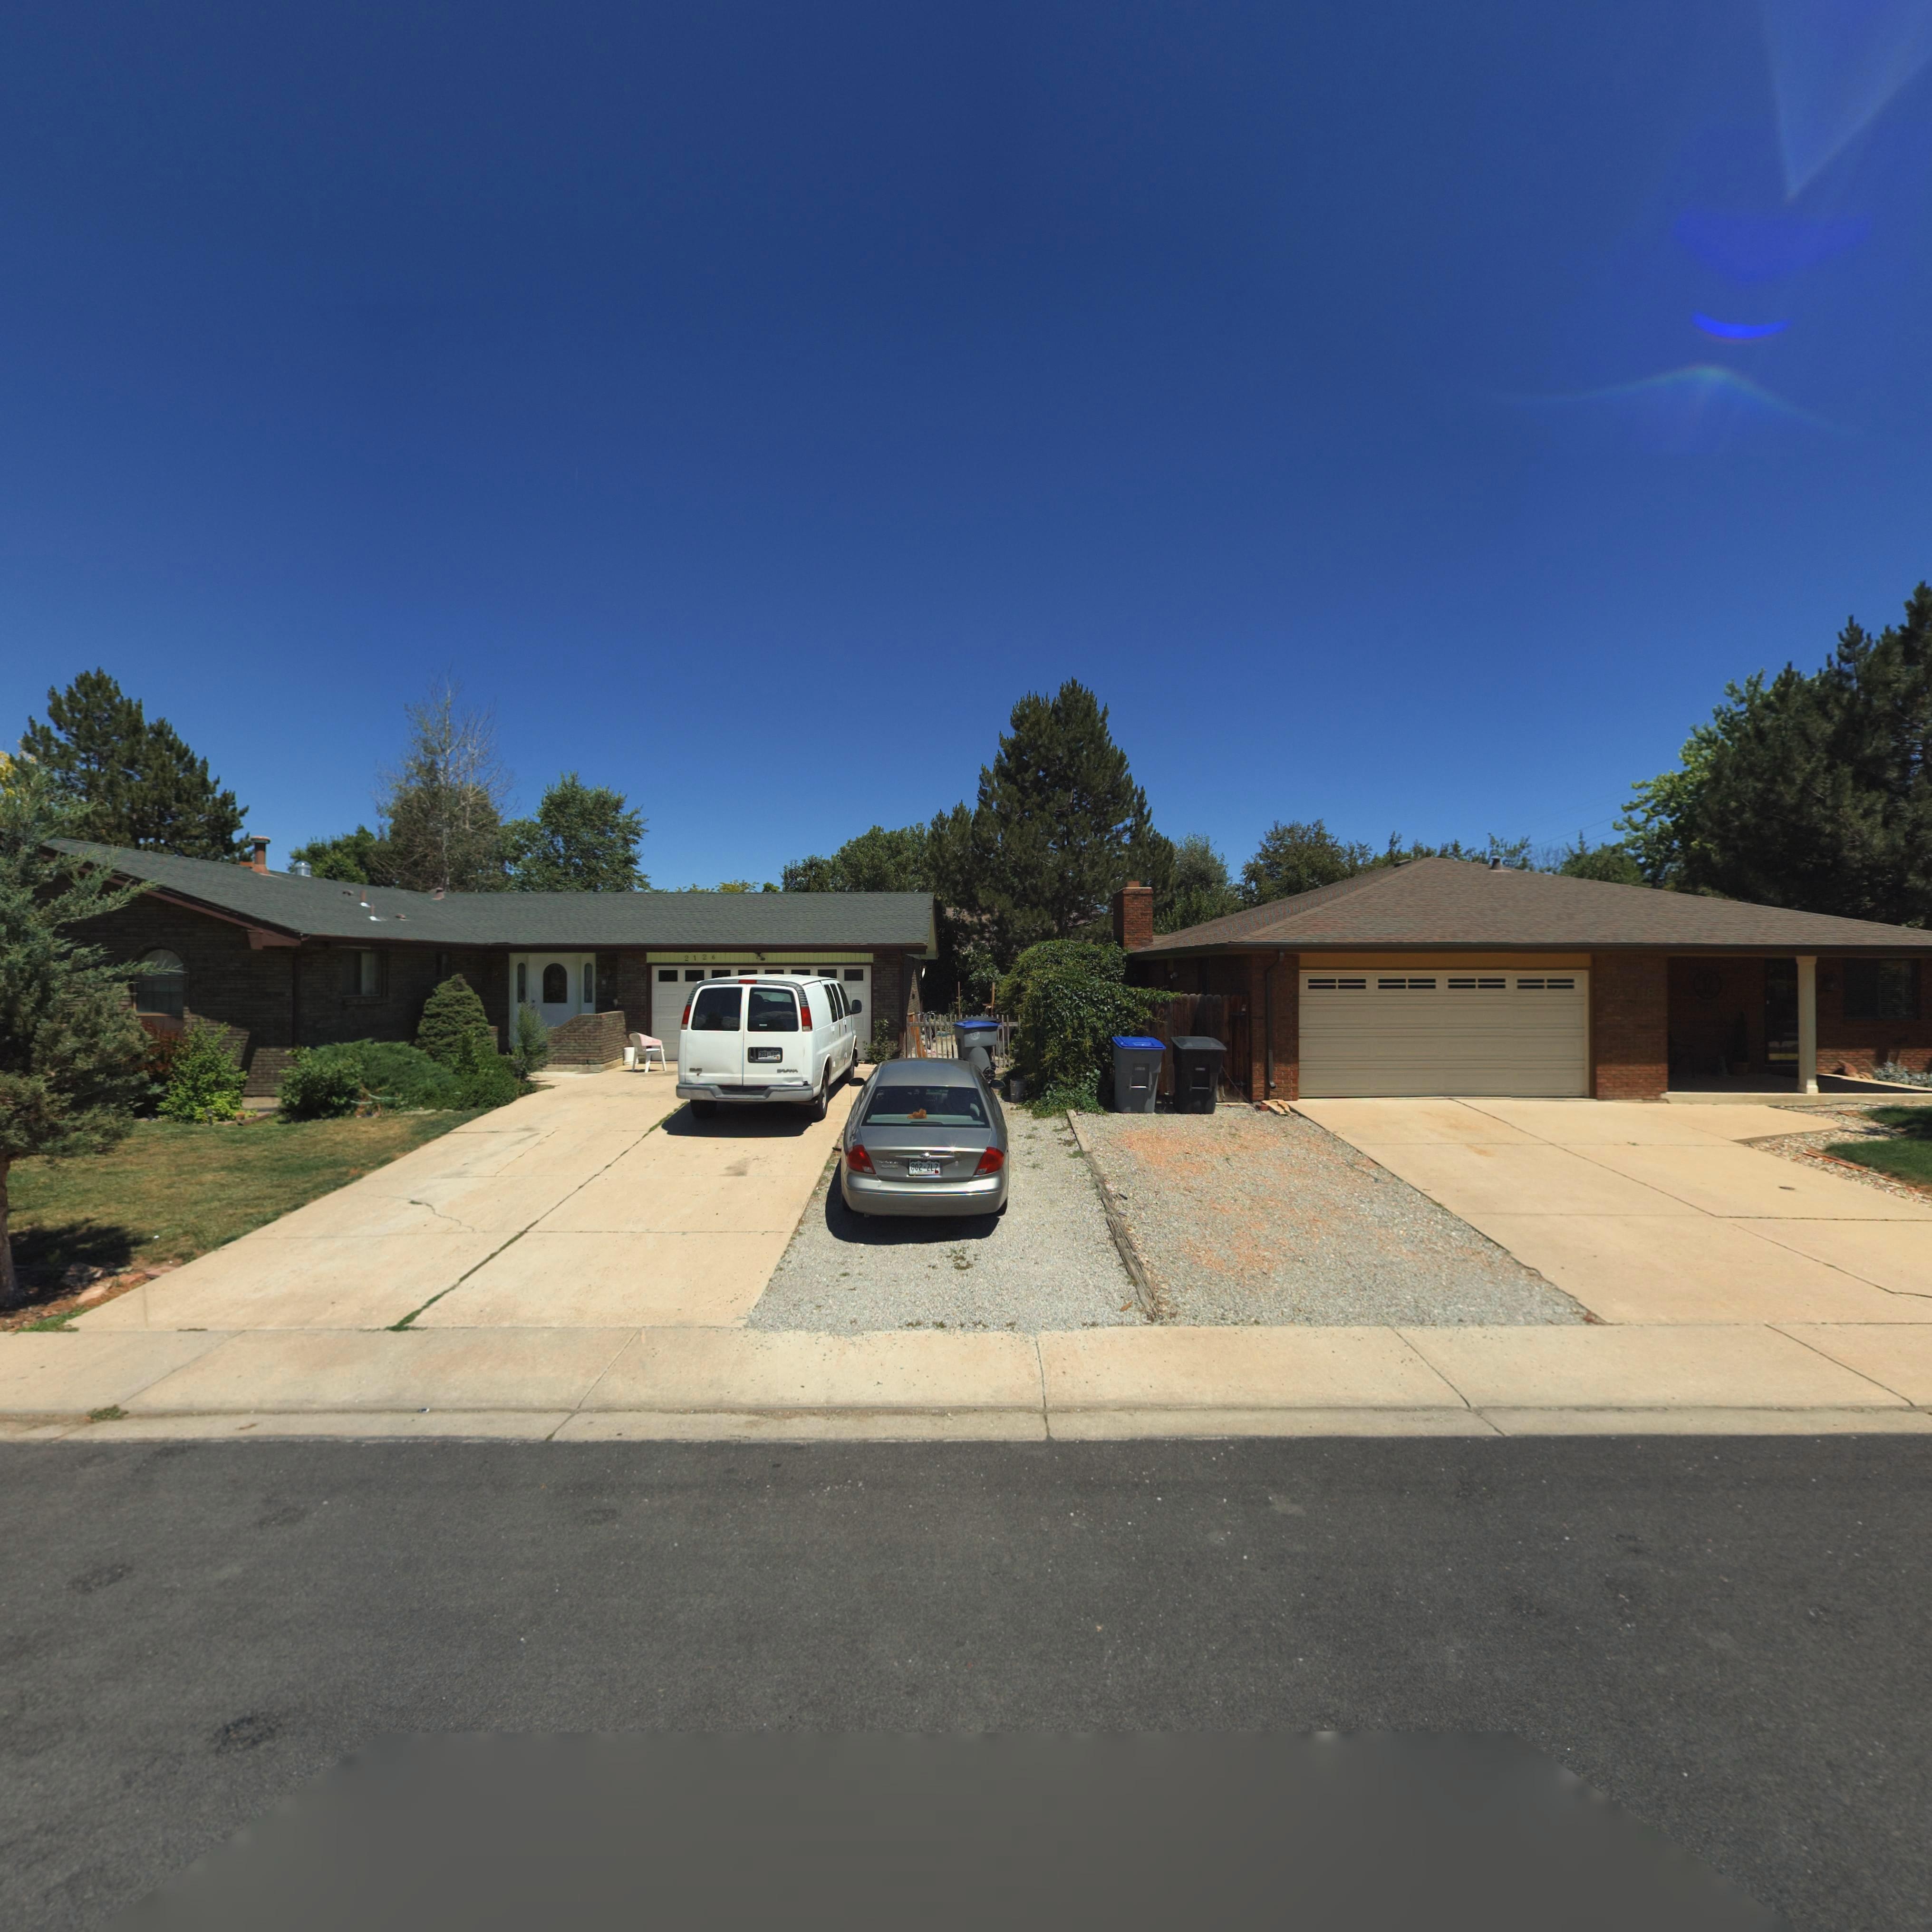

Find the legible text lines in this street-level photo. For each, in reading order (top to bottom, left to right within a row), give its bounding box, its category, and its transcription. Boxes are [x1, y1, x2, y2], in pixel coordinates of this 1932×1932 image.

[684, 953, 716, 962] StreetNumber: 2126
[1611, 986, 1655, 1000] StreetNumber: 2**8